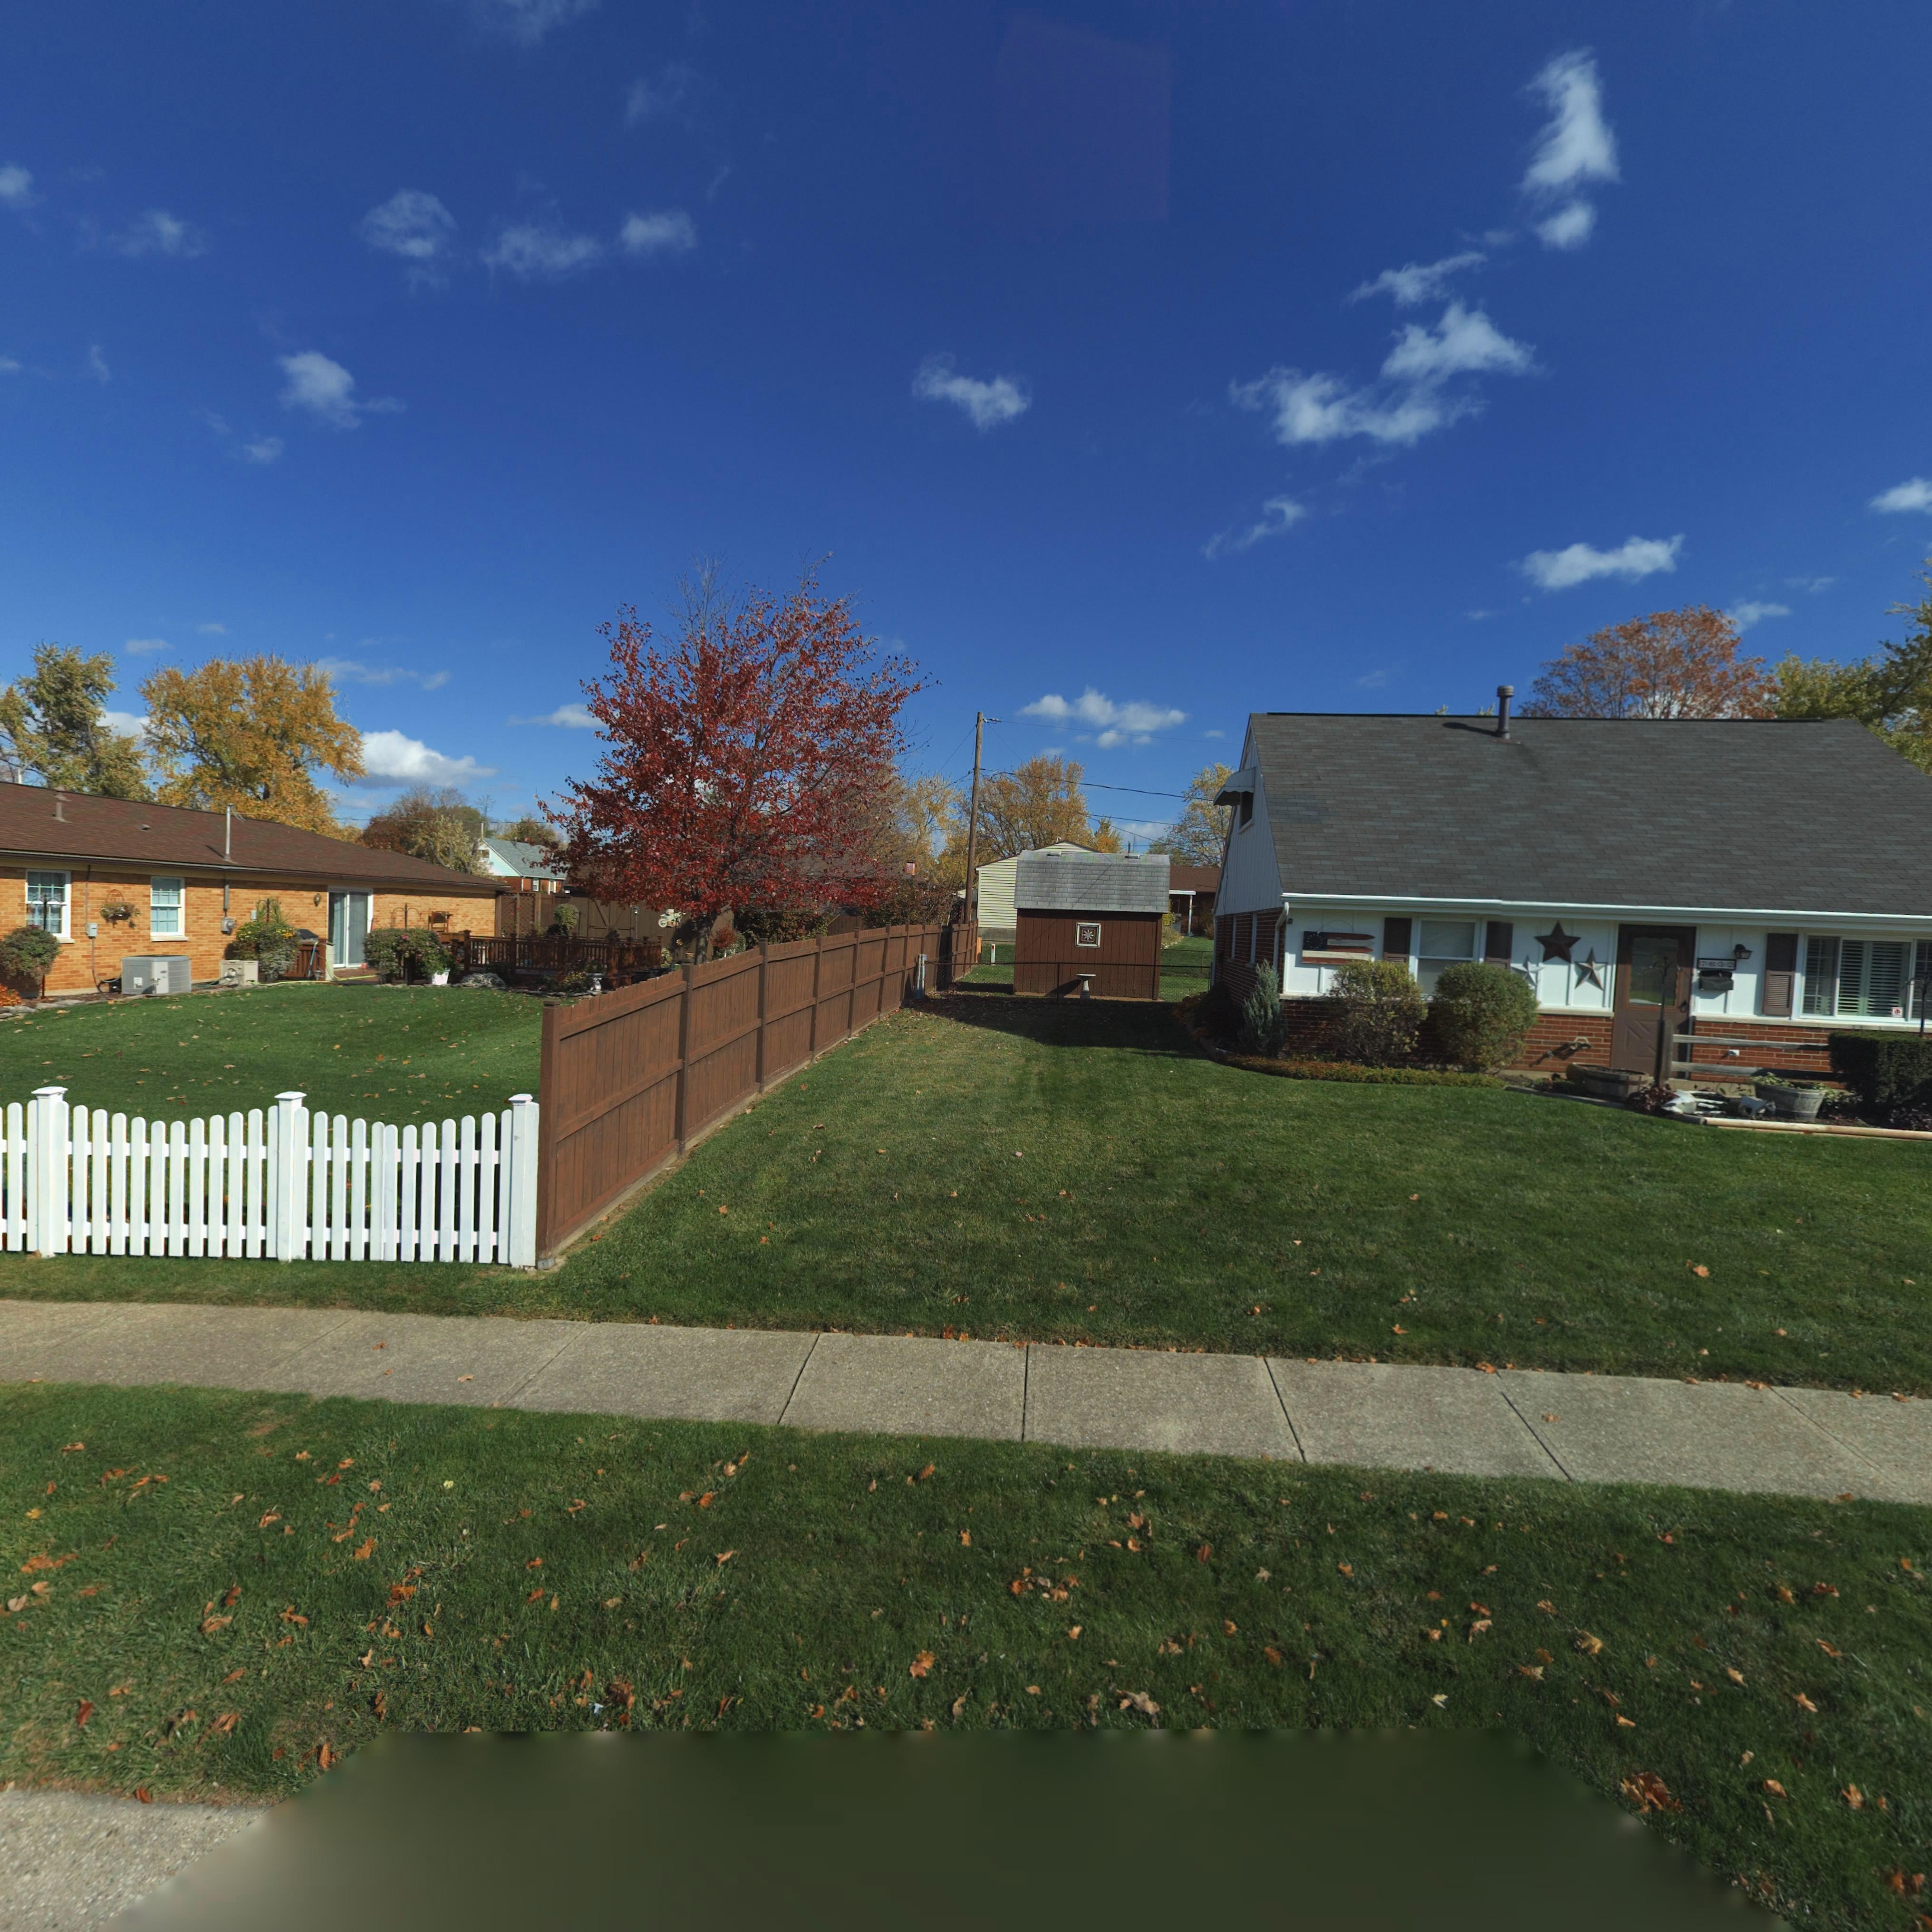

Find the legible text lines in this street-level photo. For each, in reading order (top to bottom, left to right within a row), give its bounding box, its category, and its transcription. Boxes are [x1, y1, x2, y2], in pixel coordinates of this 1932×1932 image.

[1700, 961, 1734, 968] StreetNumber: 7632